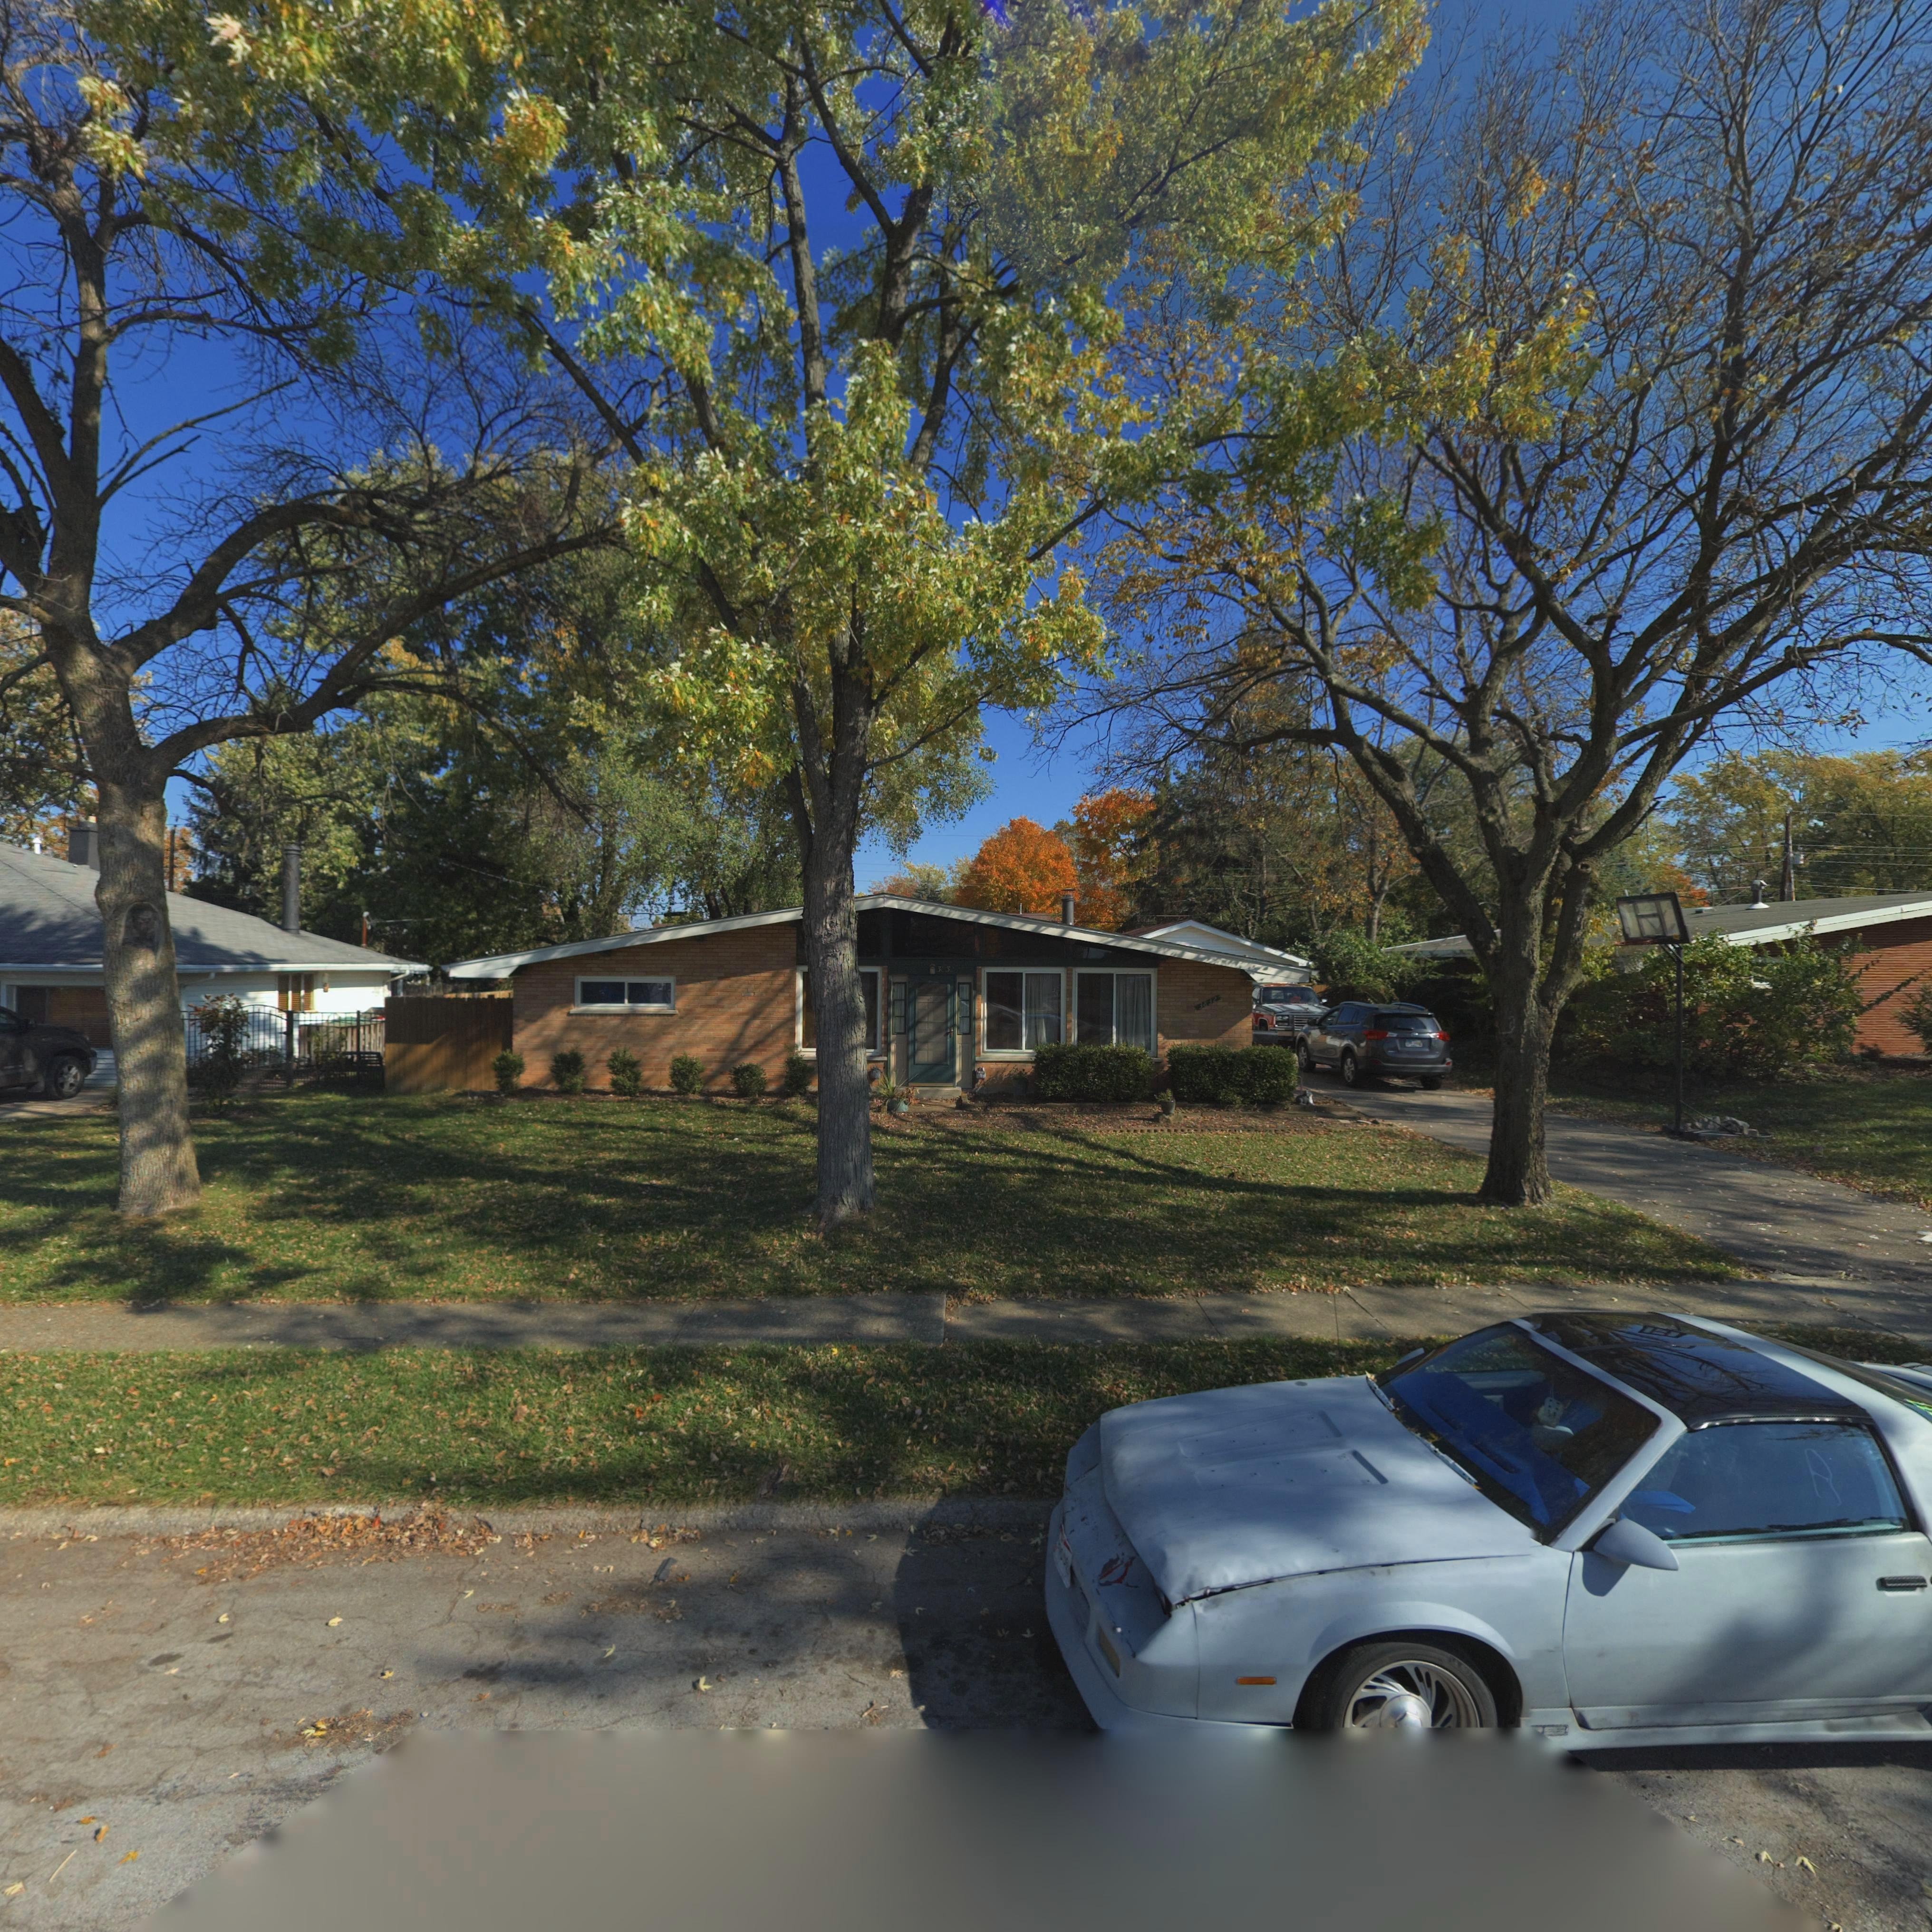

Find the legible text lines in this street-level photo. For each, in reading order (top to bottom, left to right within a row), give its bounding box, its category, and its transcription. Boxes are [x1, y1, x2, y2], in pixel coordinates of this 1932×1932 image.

[936, 966, 955, 972] StreetNumber: 3832
[1198, 995, 1218, 1010] StreetNumber: 3832